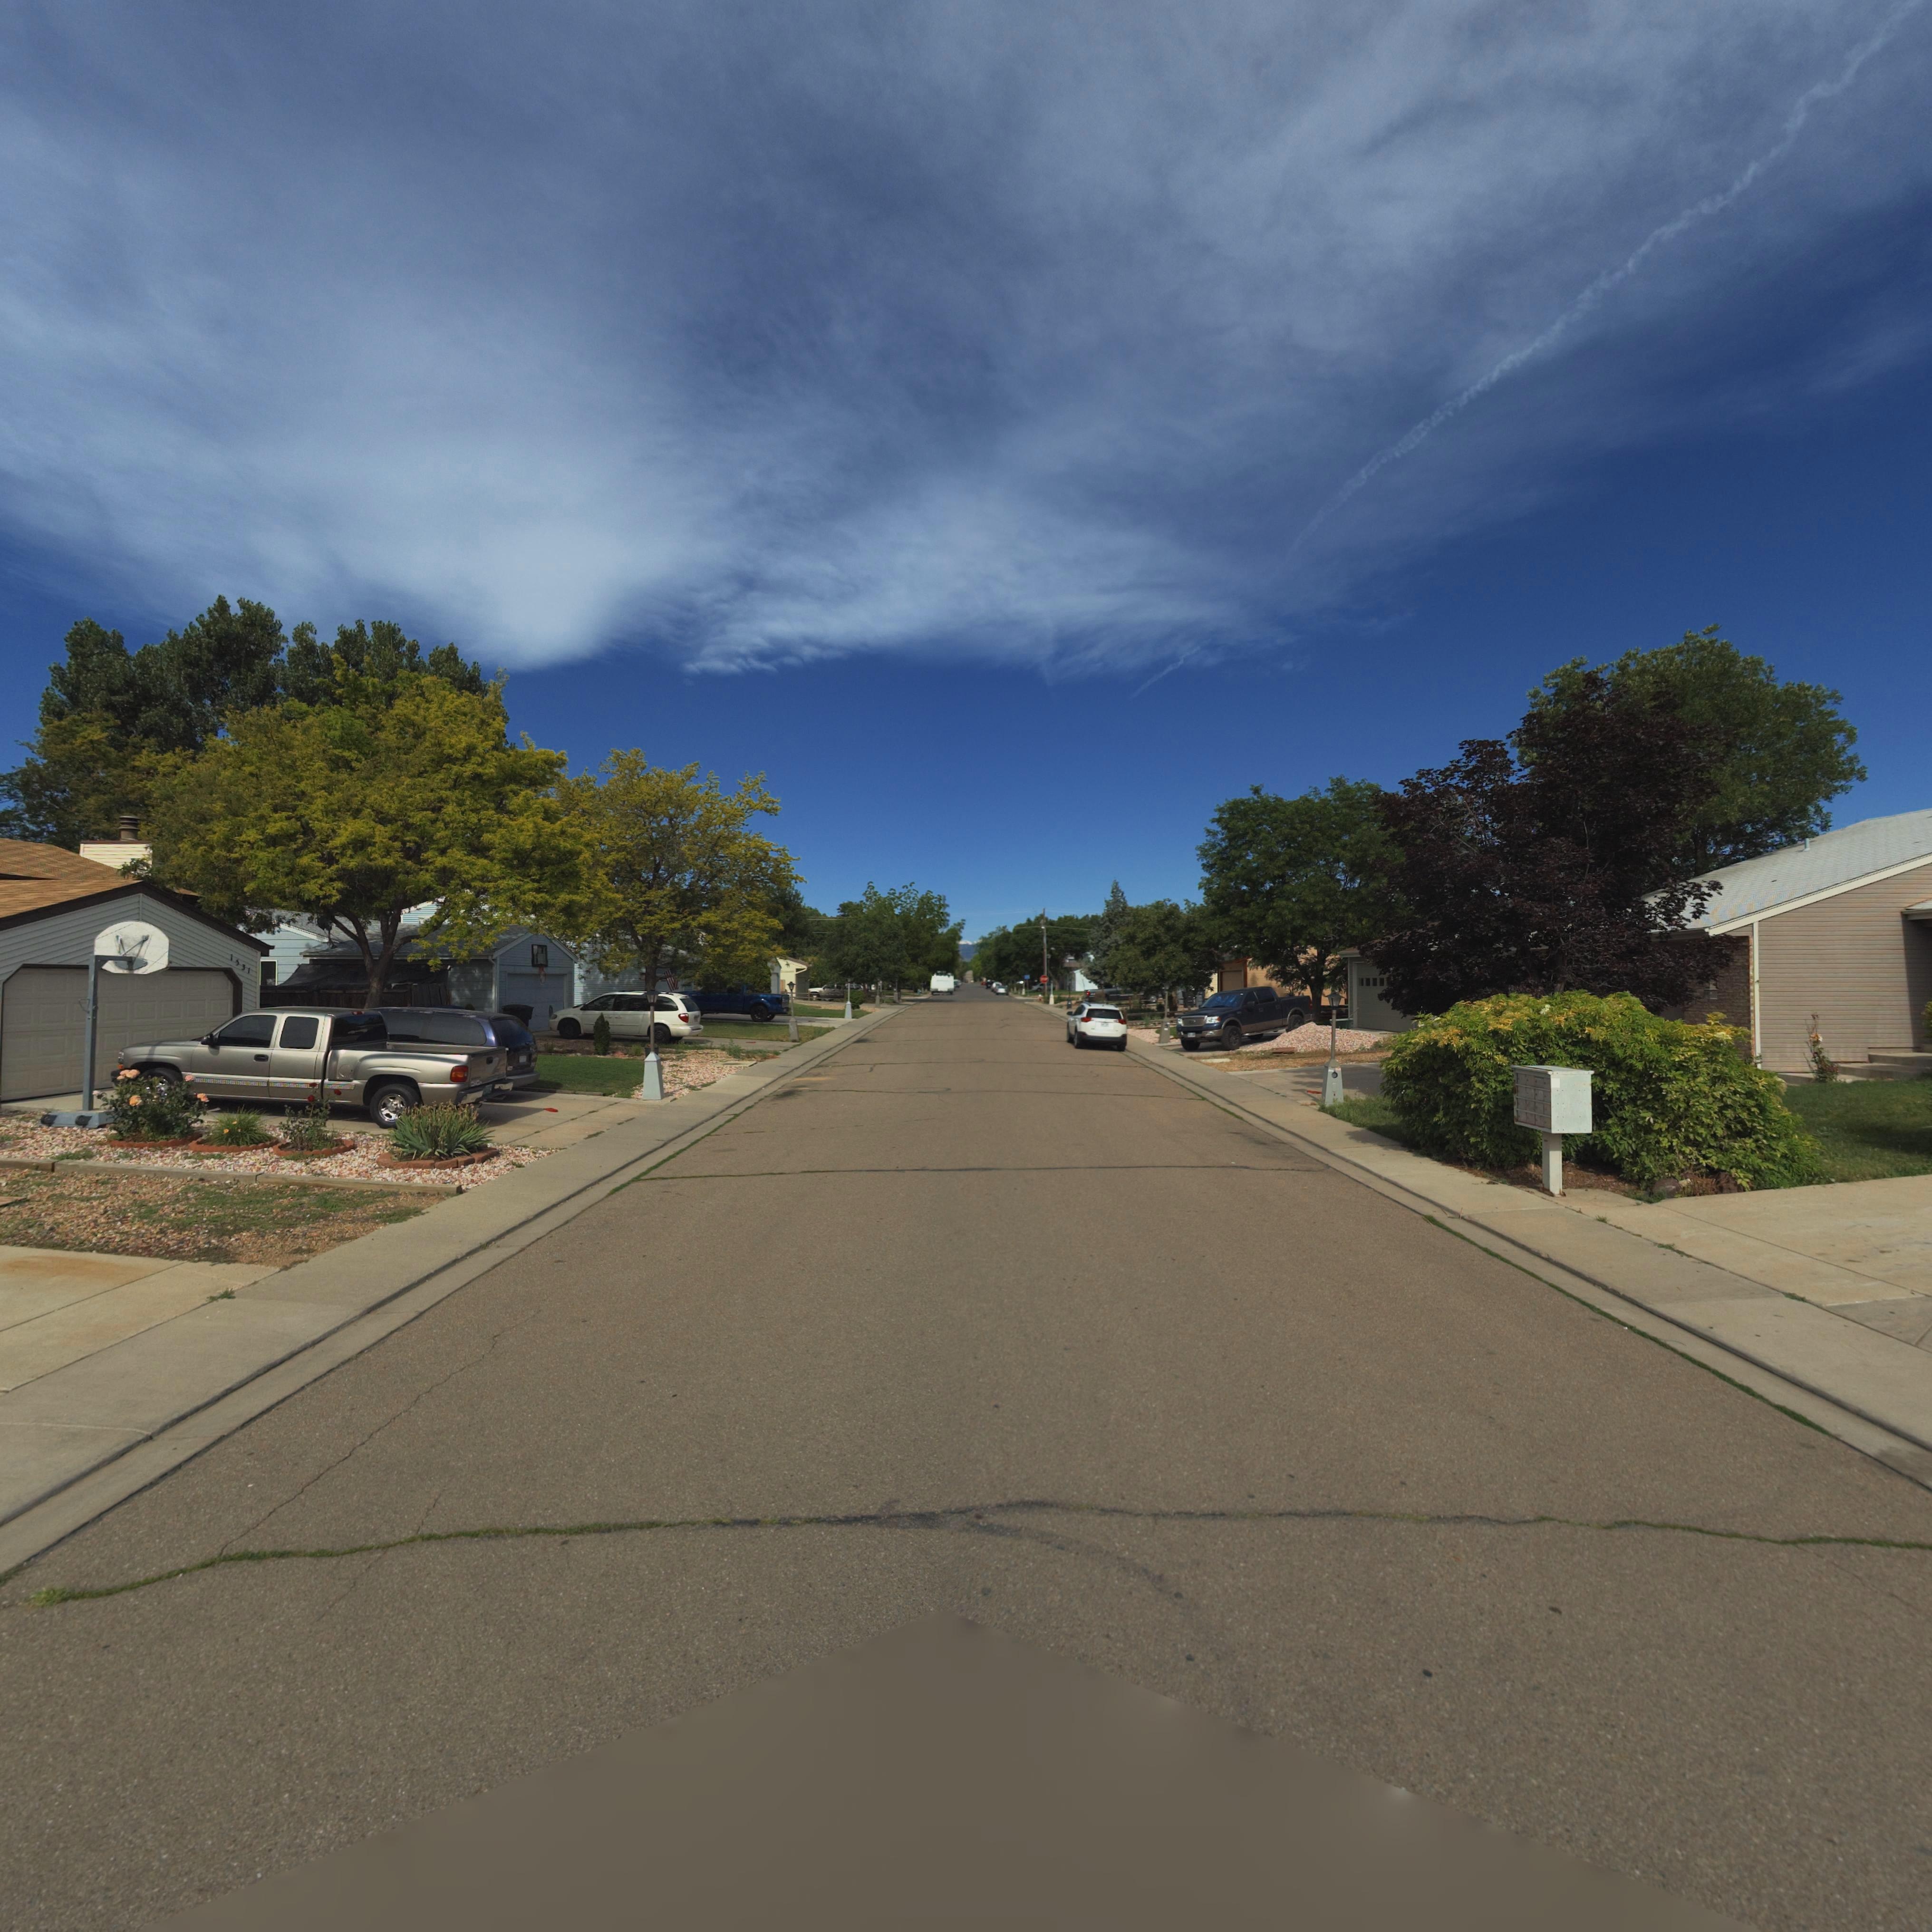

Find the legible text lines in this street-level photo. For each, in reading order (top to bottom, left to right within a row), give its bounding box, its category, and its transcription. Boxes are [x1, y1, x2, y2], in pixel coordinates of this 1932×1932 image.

[230, 953, 251, 975] StreetNumber: 1531